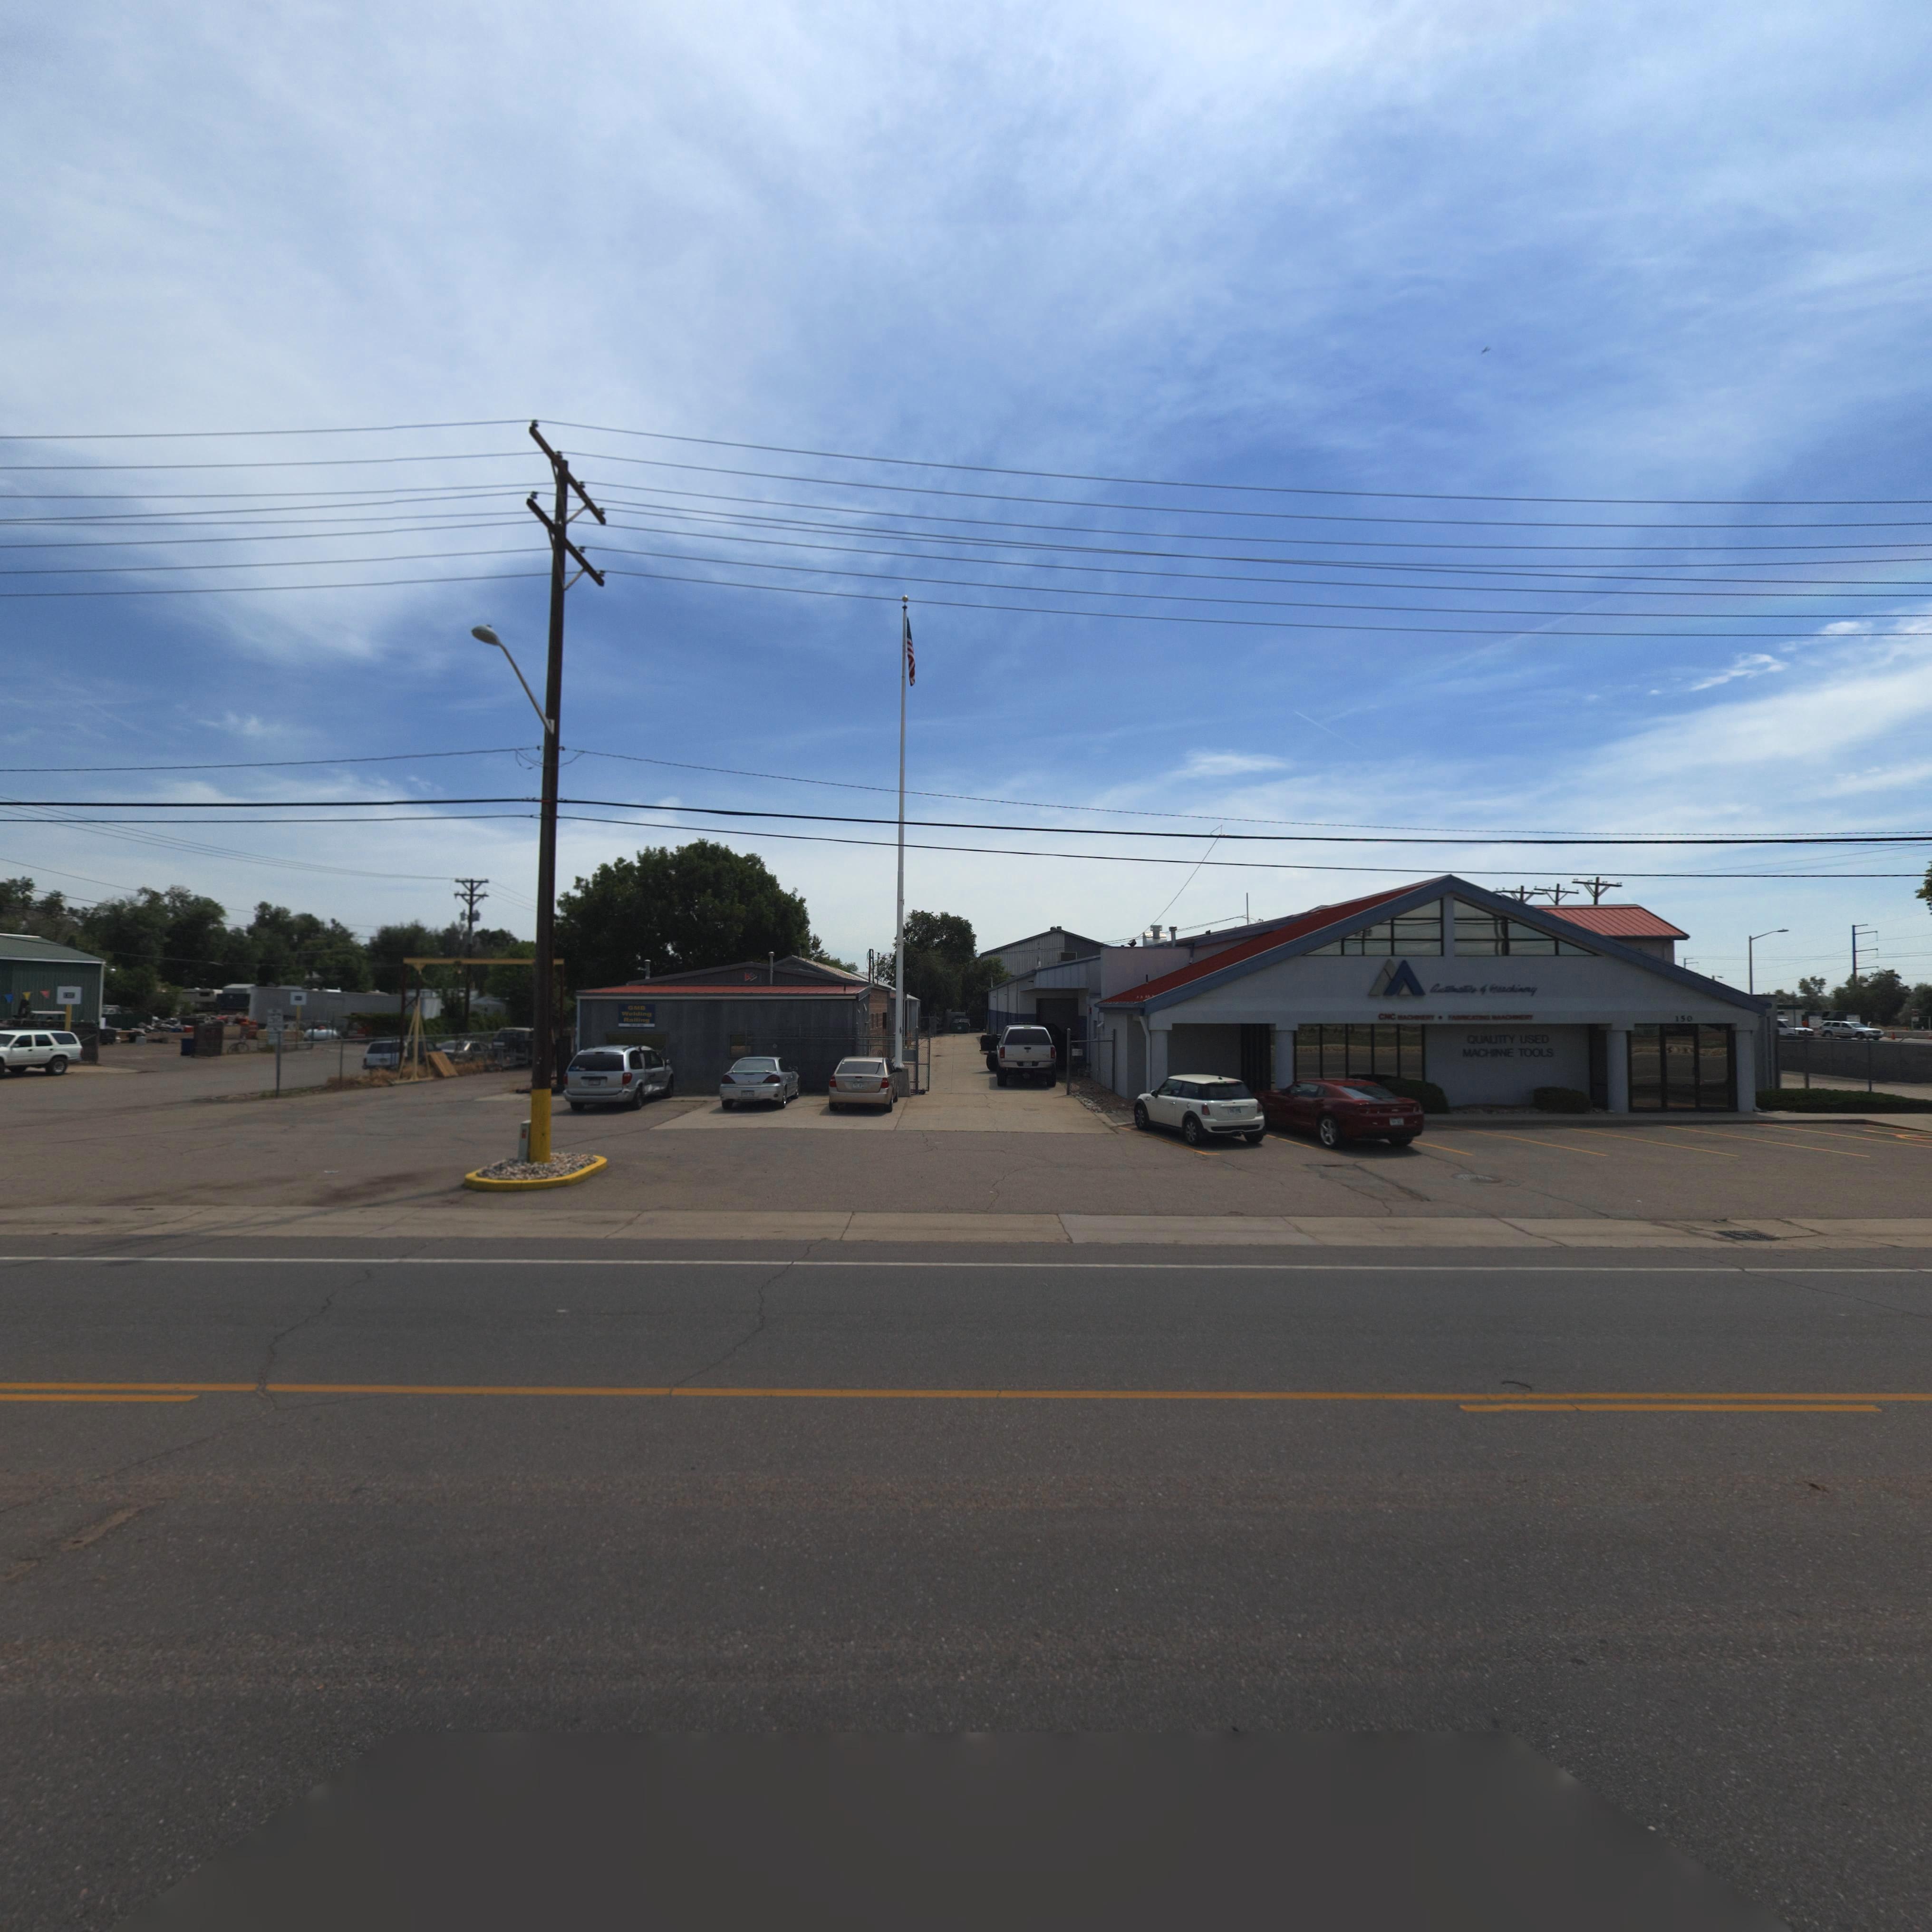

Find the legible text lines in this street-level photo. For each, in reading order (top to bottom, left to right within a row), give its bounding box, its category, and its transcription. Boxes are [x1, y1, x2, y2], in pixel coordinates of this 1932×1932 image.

[1675, 1015, 1693, 1022] StreetNumber: 150